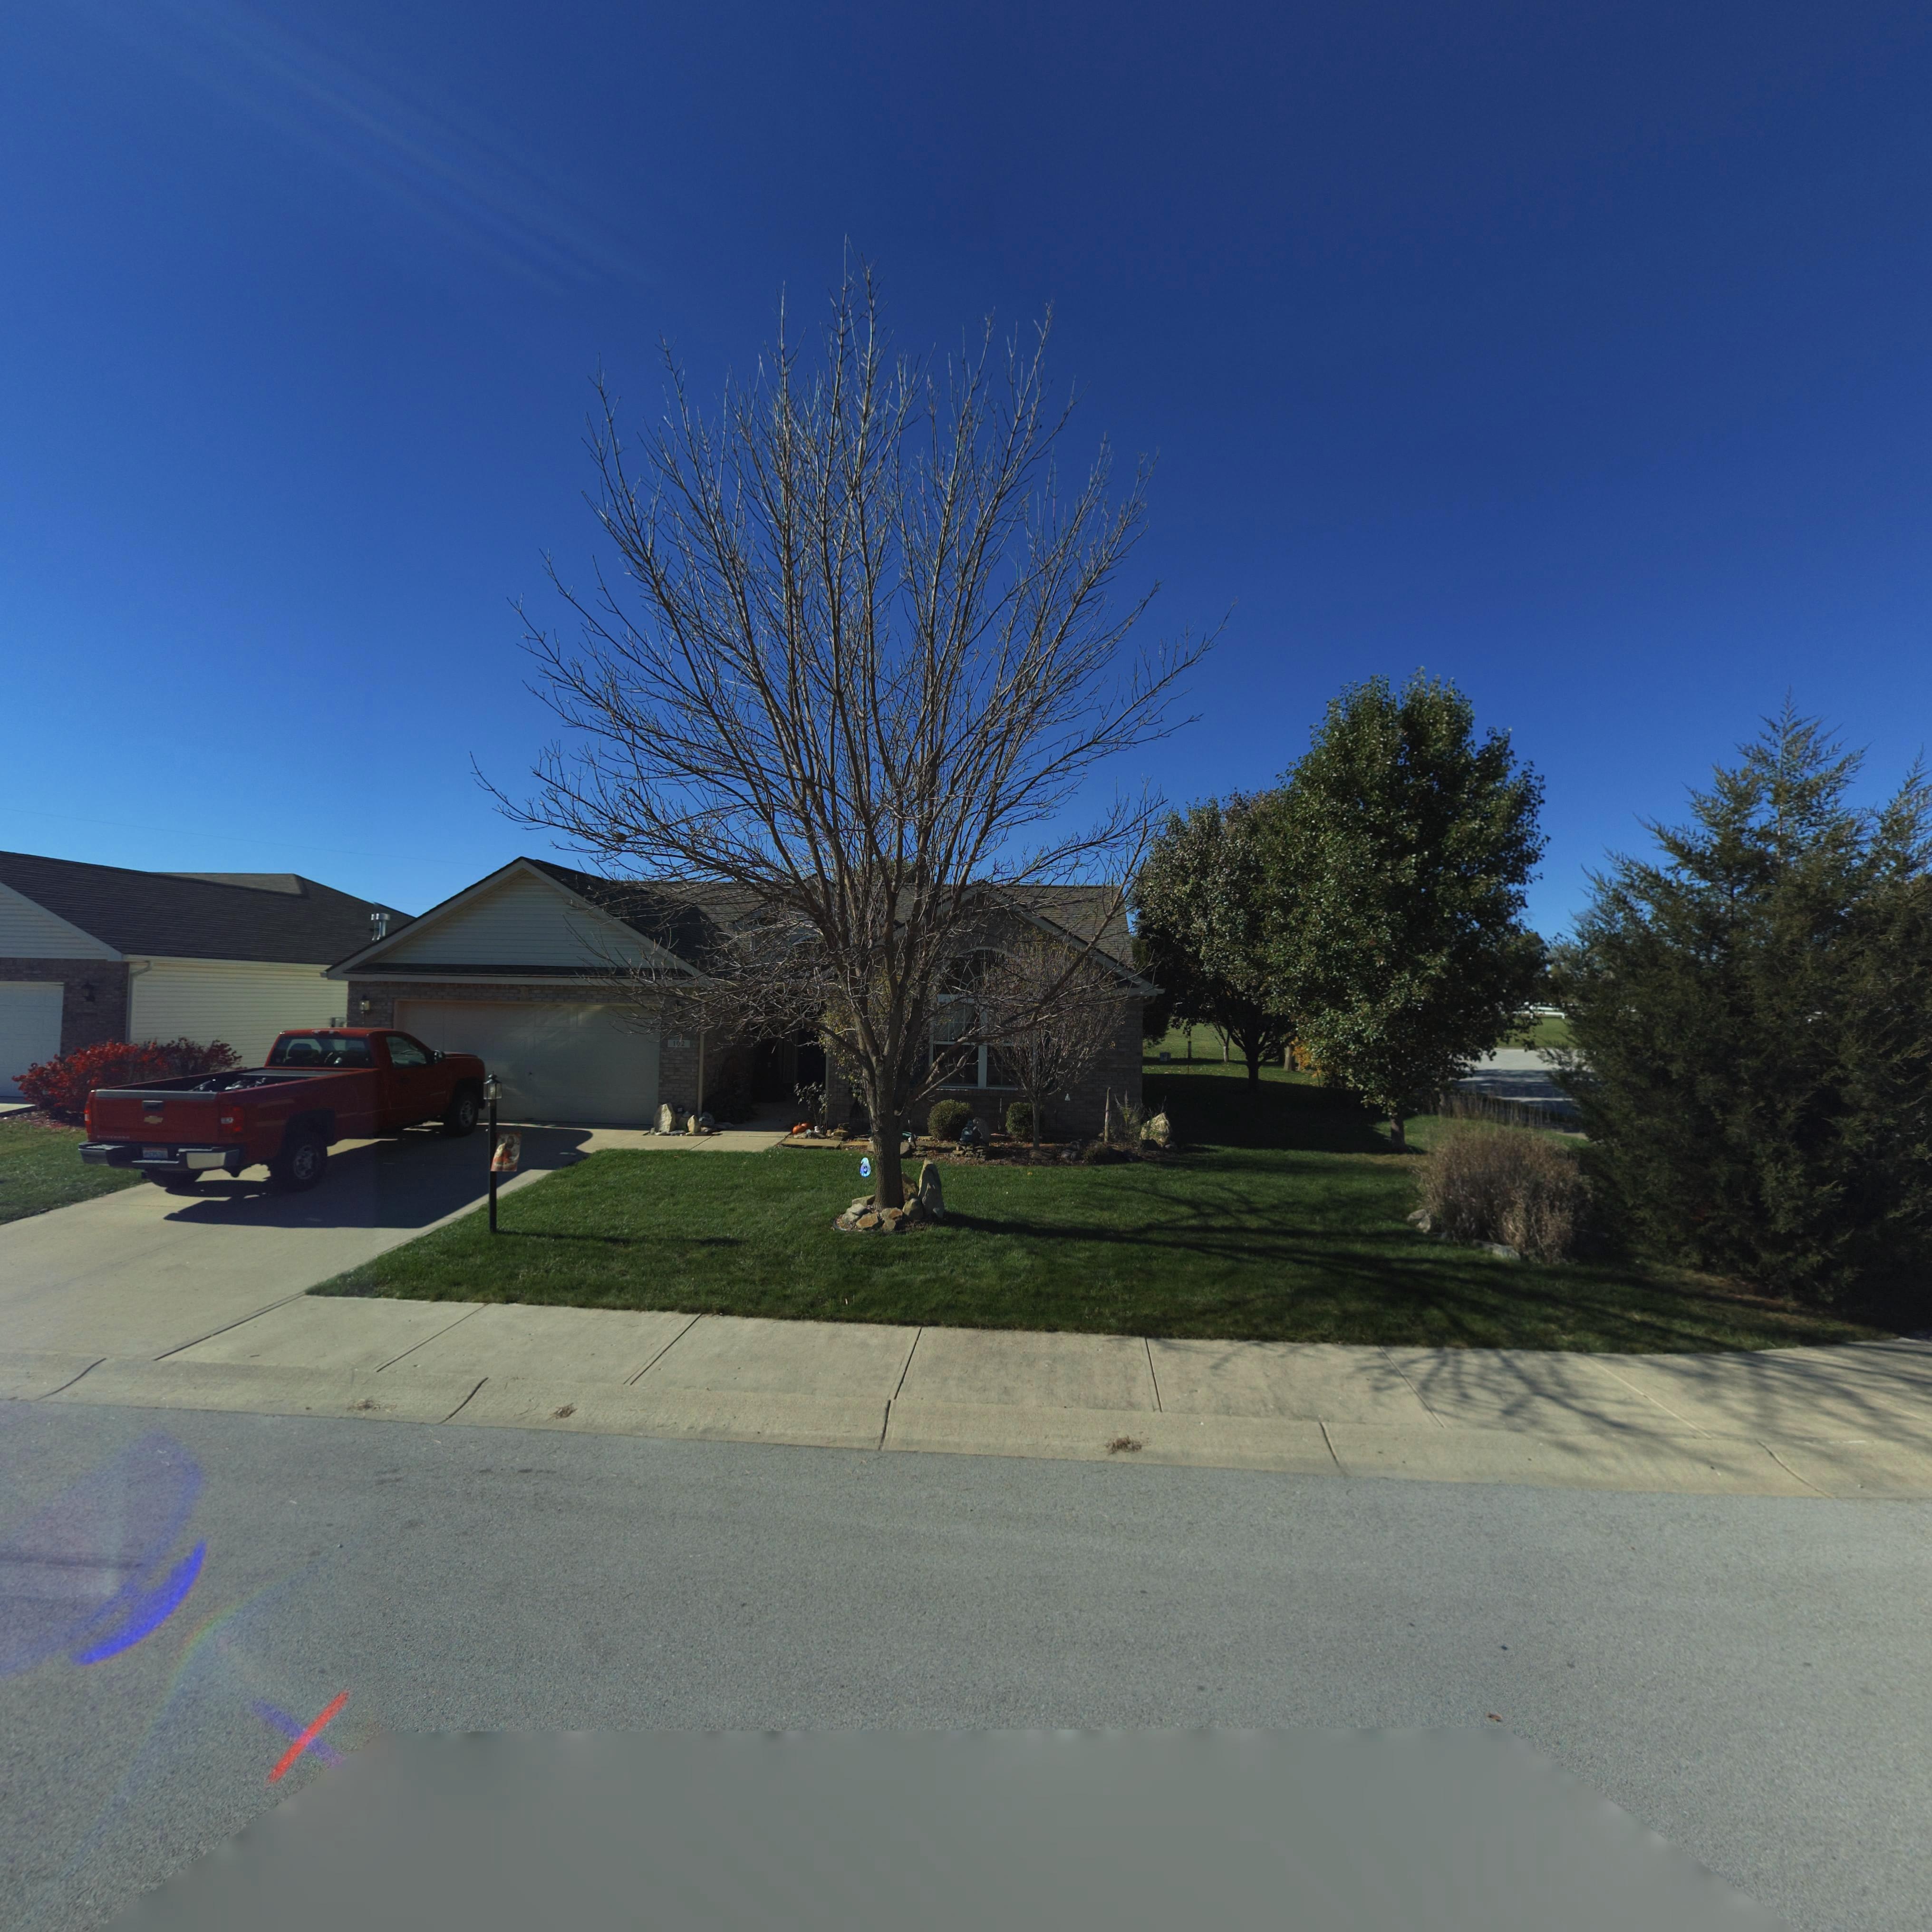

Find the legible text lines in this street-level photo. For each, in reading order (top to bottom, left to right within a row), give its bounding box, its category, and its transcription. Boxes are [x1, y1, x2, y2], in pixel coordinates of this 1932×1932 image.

[672, 1040, 686, 1047] StreetNumber: 1*2